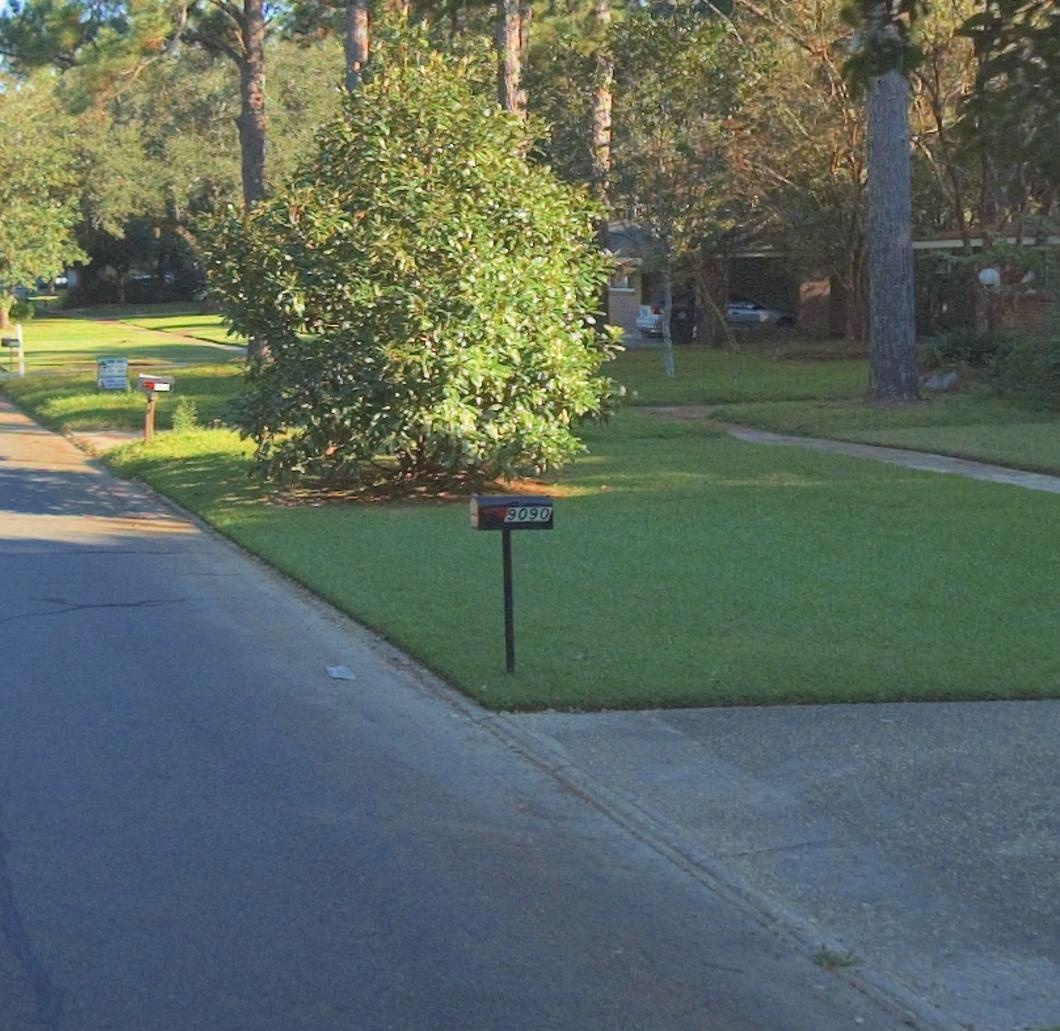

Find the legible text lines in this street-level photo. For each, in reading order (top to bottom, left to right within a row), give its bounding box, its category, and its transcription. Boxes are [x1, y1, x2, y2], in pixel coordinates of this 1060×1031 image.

[505, 507, 552, 521] StreetNumber: 9090